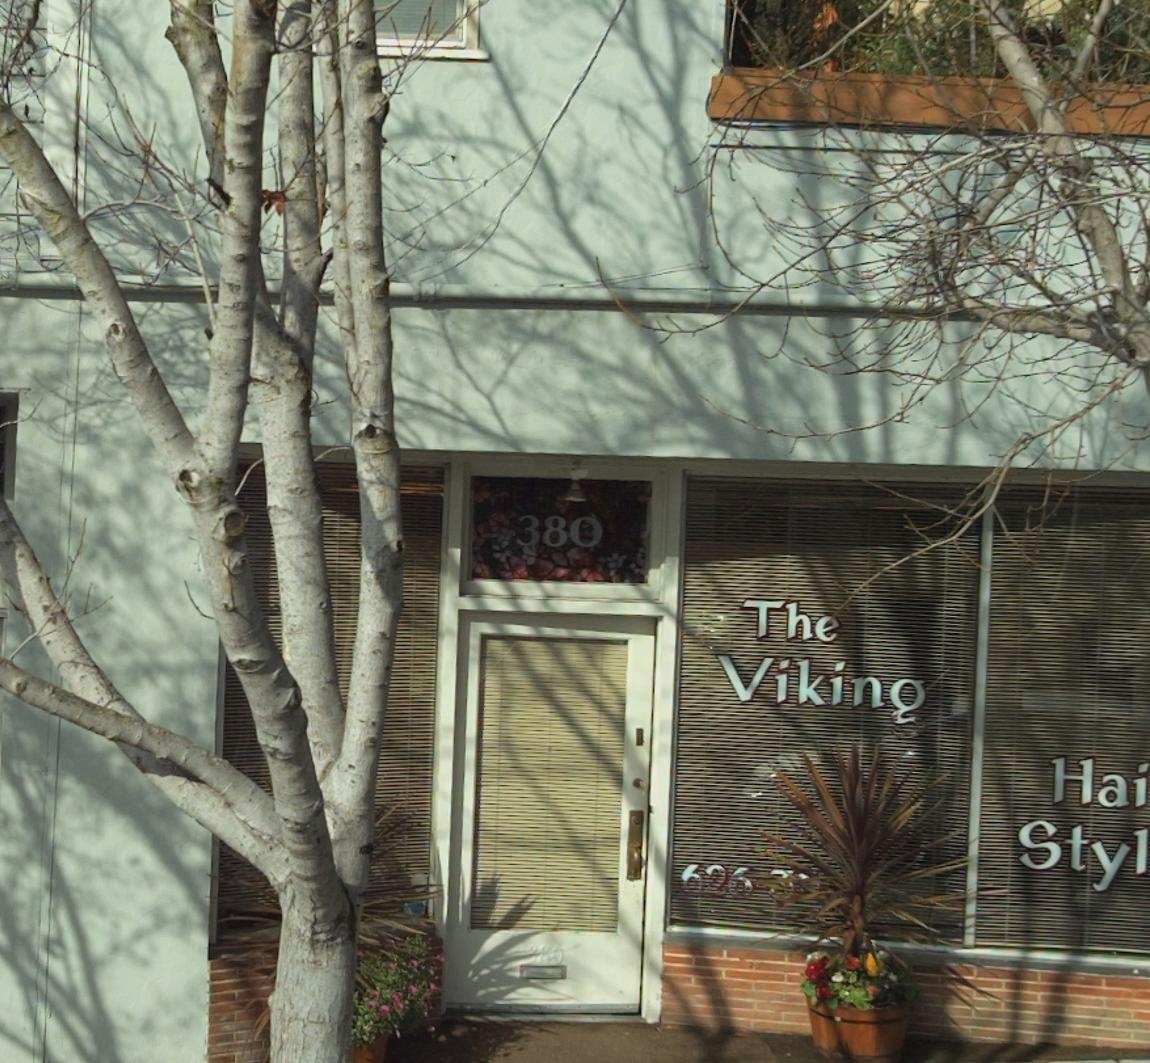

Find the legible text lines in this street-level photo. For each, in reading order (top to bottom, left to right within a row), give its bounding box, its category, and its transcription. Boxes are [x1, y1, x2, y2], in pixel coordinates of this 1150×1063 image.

[514, 514, 605, 550] StreetNumber: 380
[739, 594, 844, 643] BusinessName: The
[712, 651, 934, 742] BusinessName: Viking
[1047, 754, 1149, 810] None: Hai
[676, 859, 756, 902] None: 626
[1016, 817, 1150, 894] None: Styl